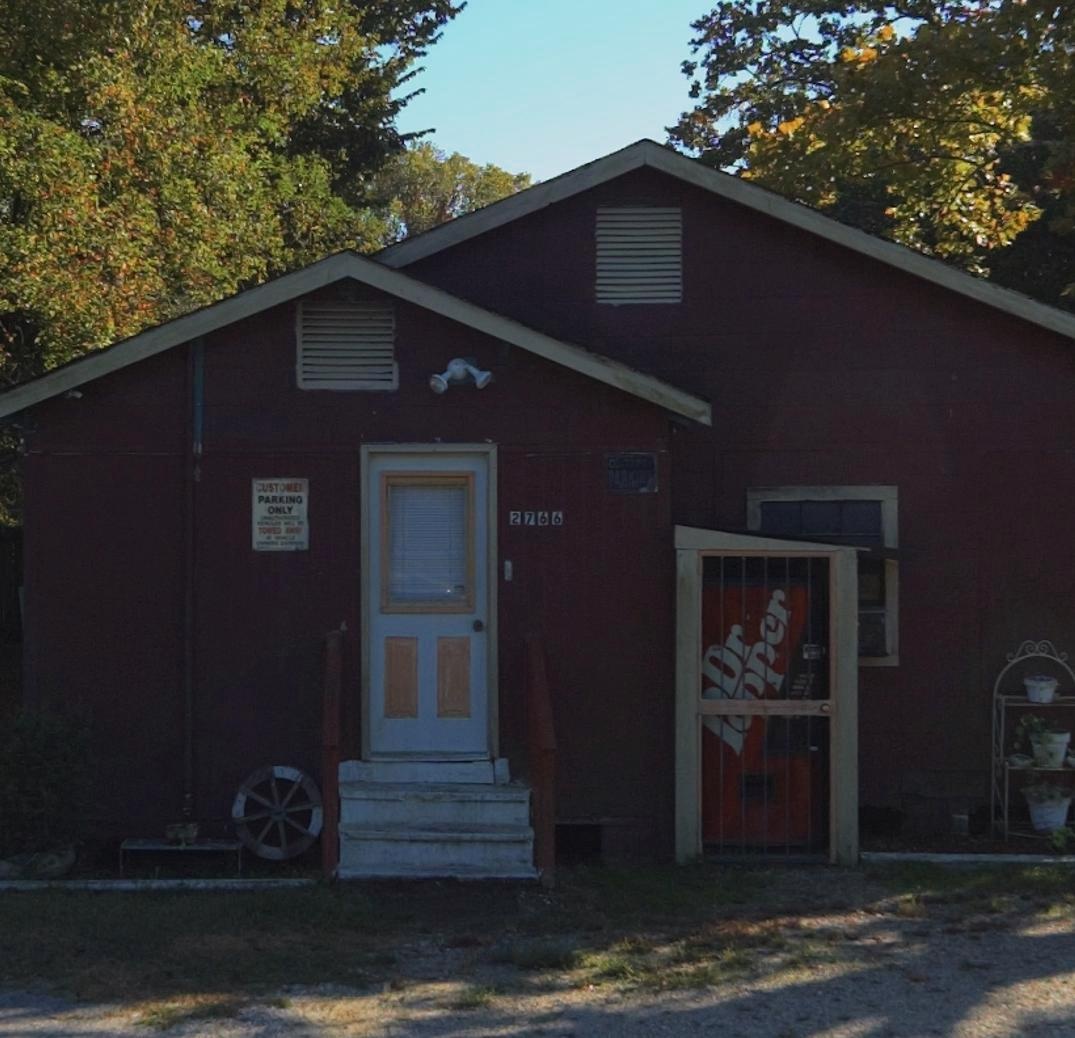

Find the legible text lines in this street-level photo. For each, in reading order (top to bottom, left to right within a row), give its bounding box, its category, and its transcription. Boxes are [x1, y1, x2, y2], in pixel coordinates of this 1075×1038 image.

[255, 481, 306, 494] None: CUSTOMER
[256, 494, 304, 505] None: PARKING
[266, 505, 296, 515] None: ONLY
[510, 511, 562, 526] StreetNumber: 2766
[256, 526, 283, 535] None: TOWED